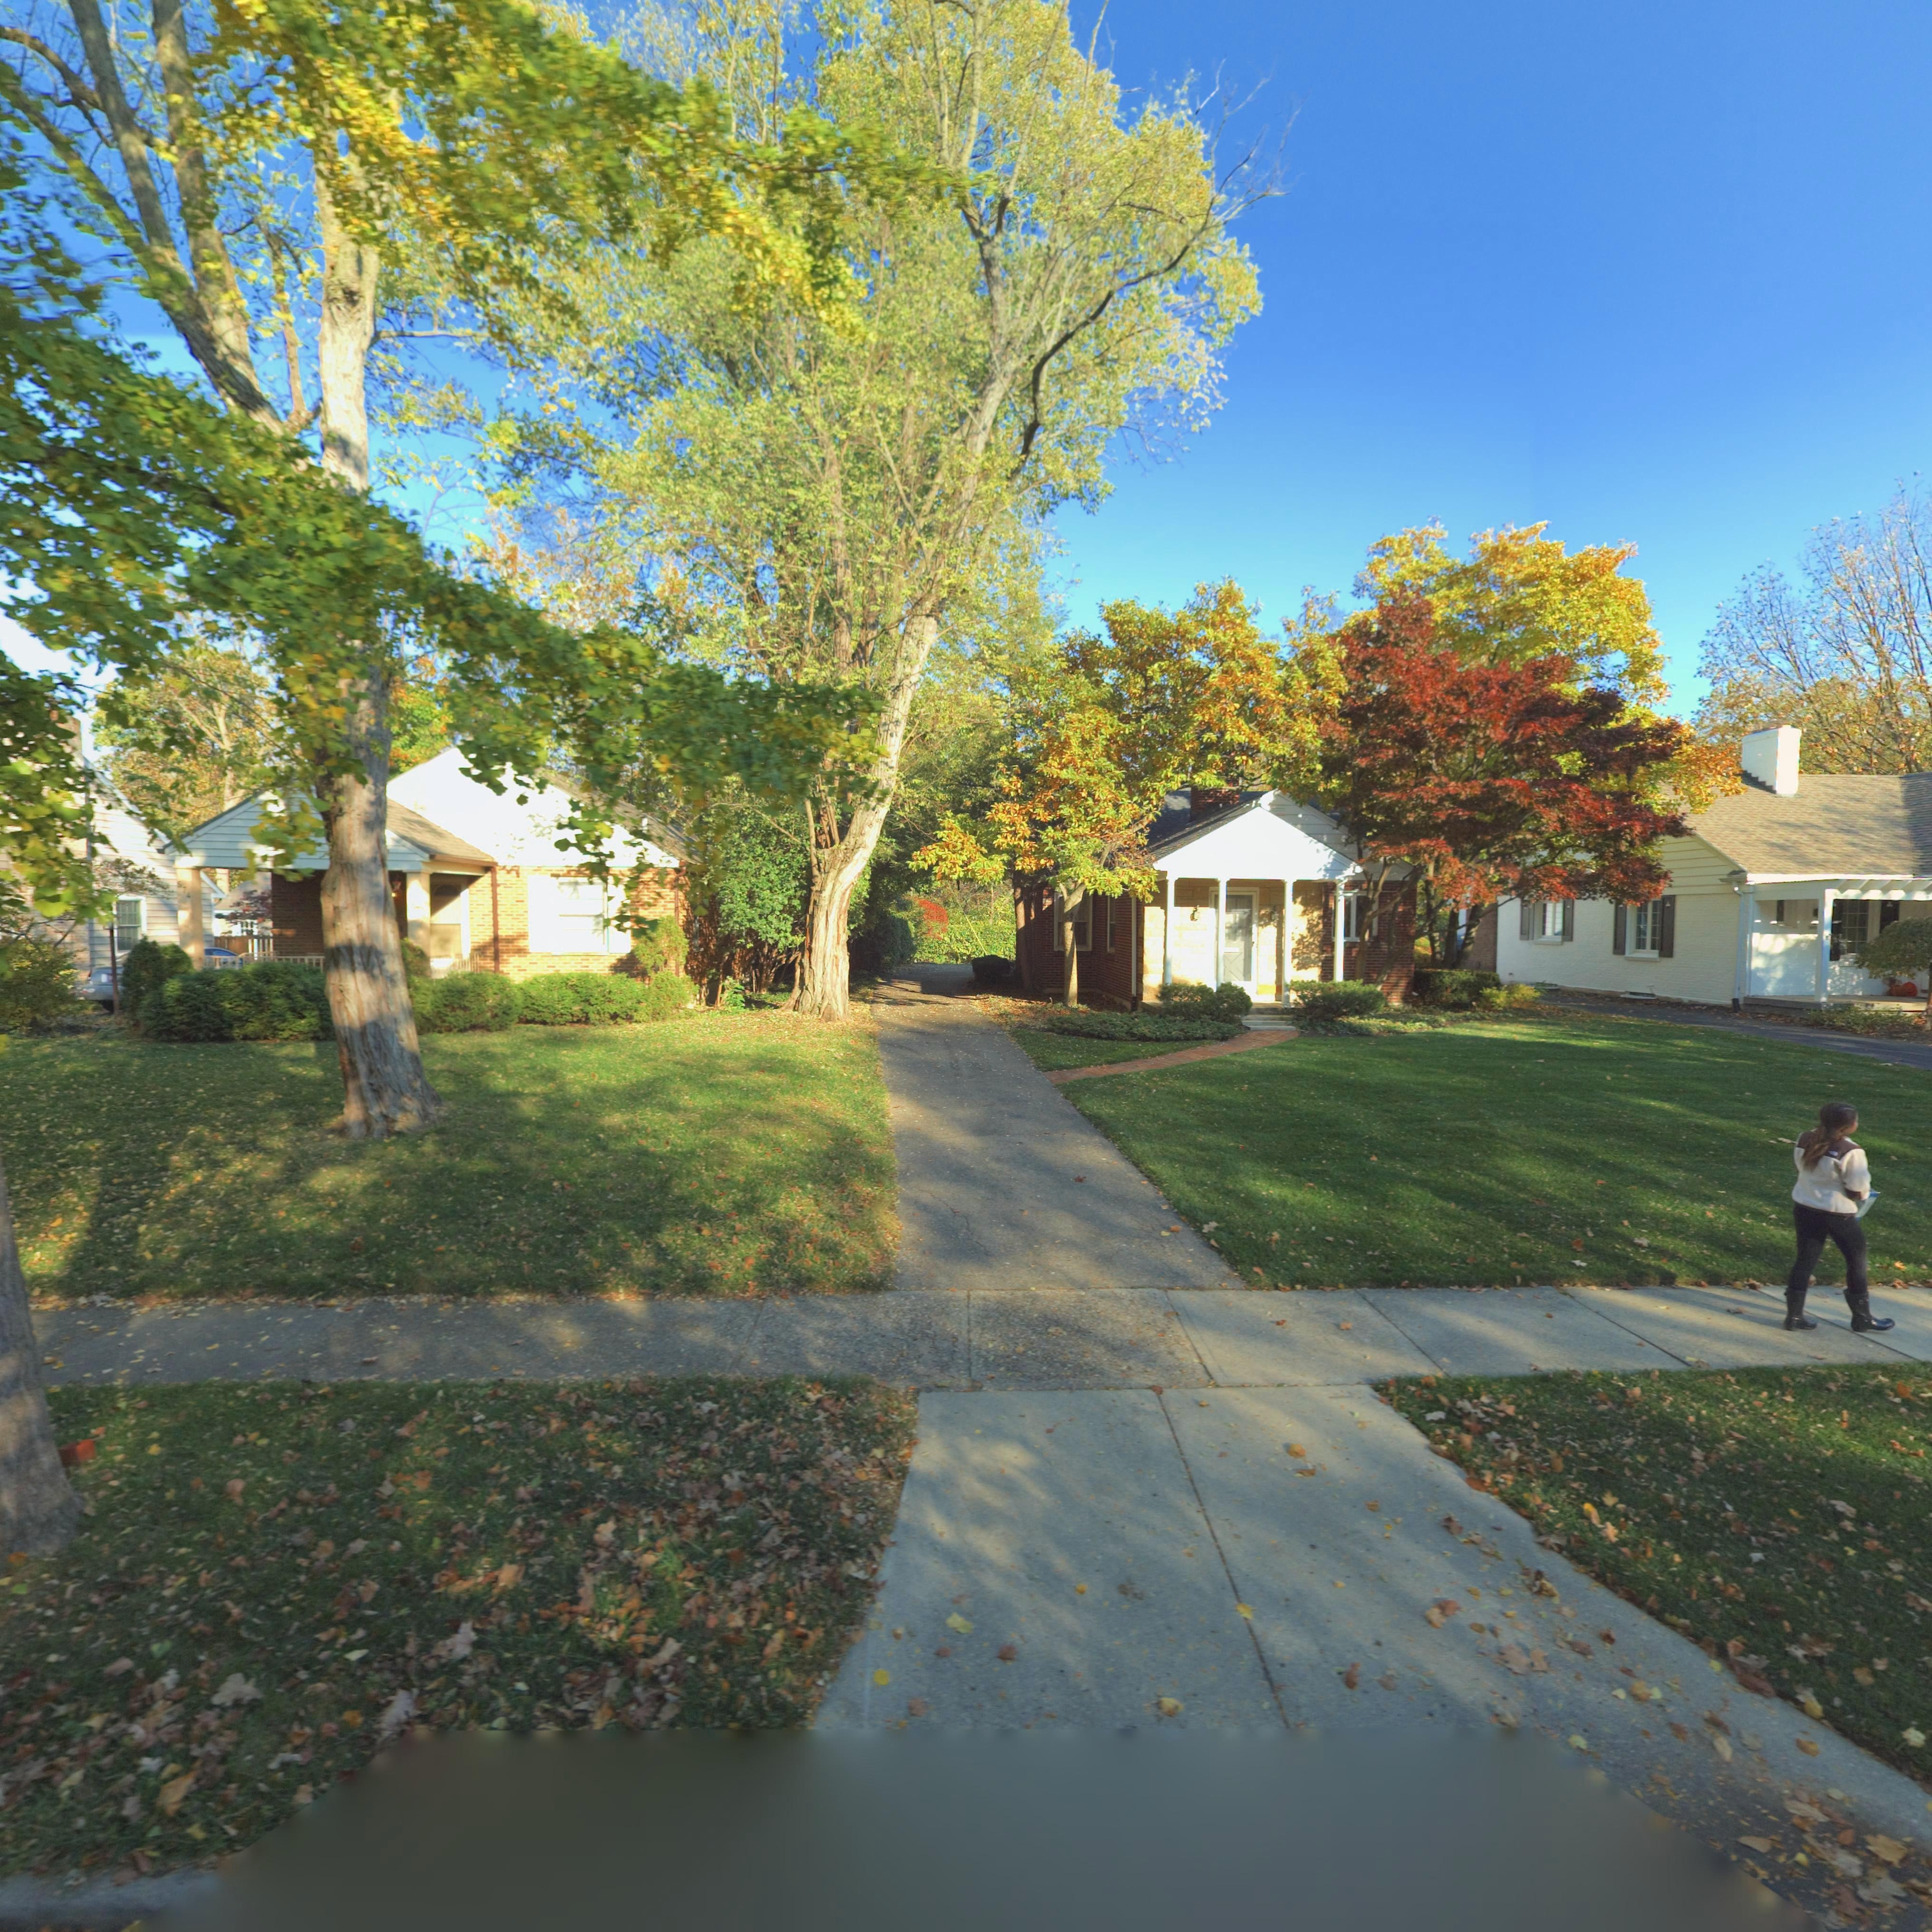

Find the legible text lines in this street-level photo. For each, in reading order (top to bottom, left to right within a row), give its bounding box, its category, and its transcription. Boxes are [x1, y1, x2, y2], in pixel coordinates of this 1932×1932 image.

[177, 880, 191, 898] StreetNumber: 574